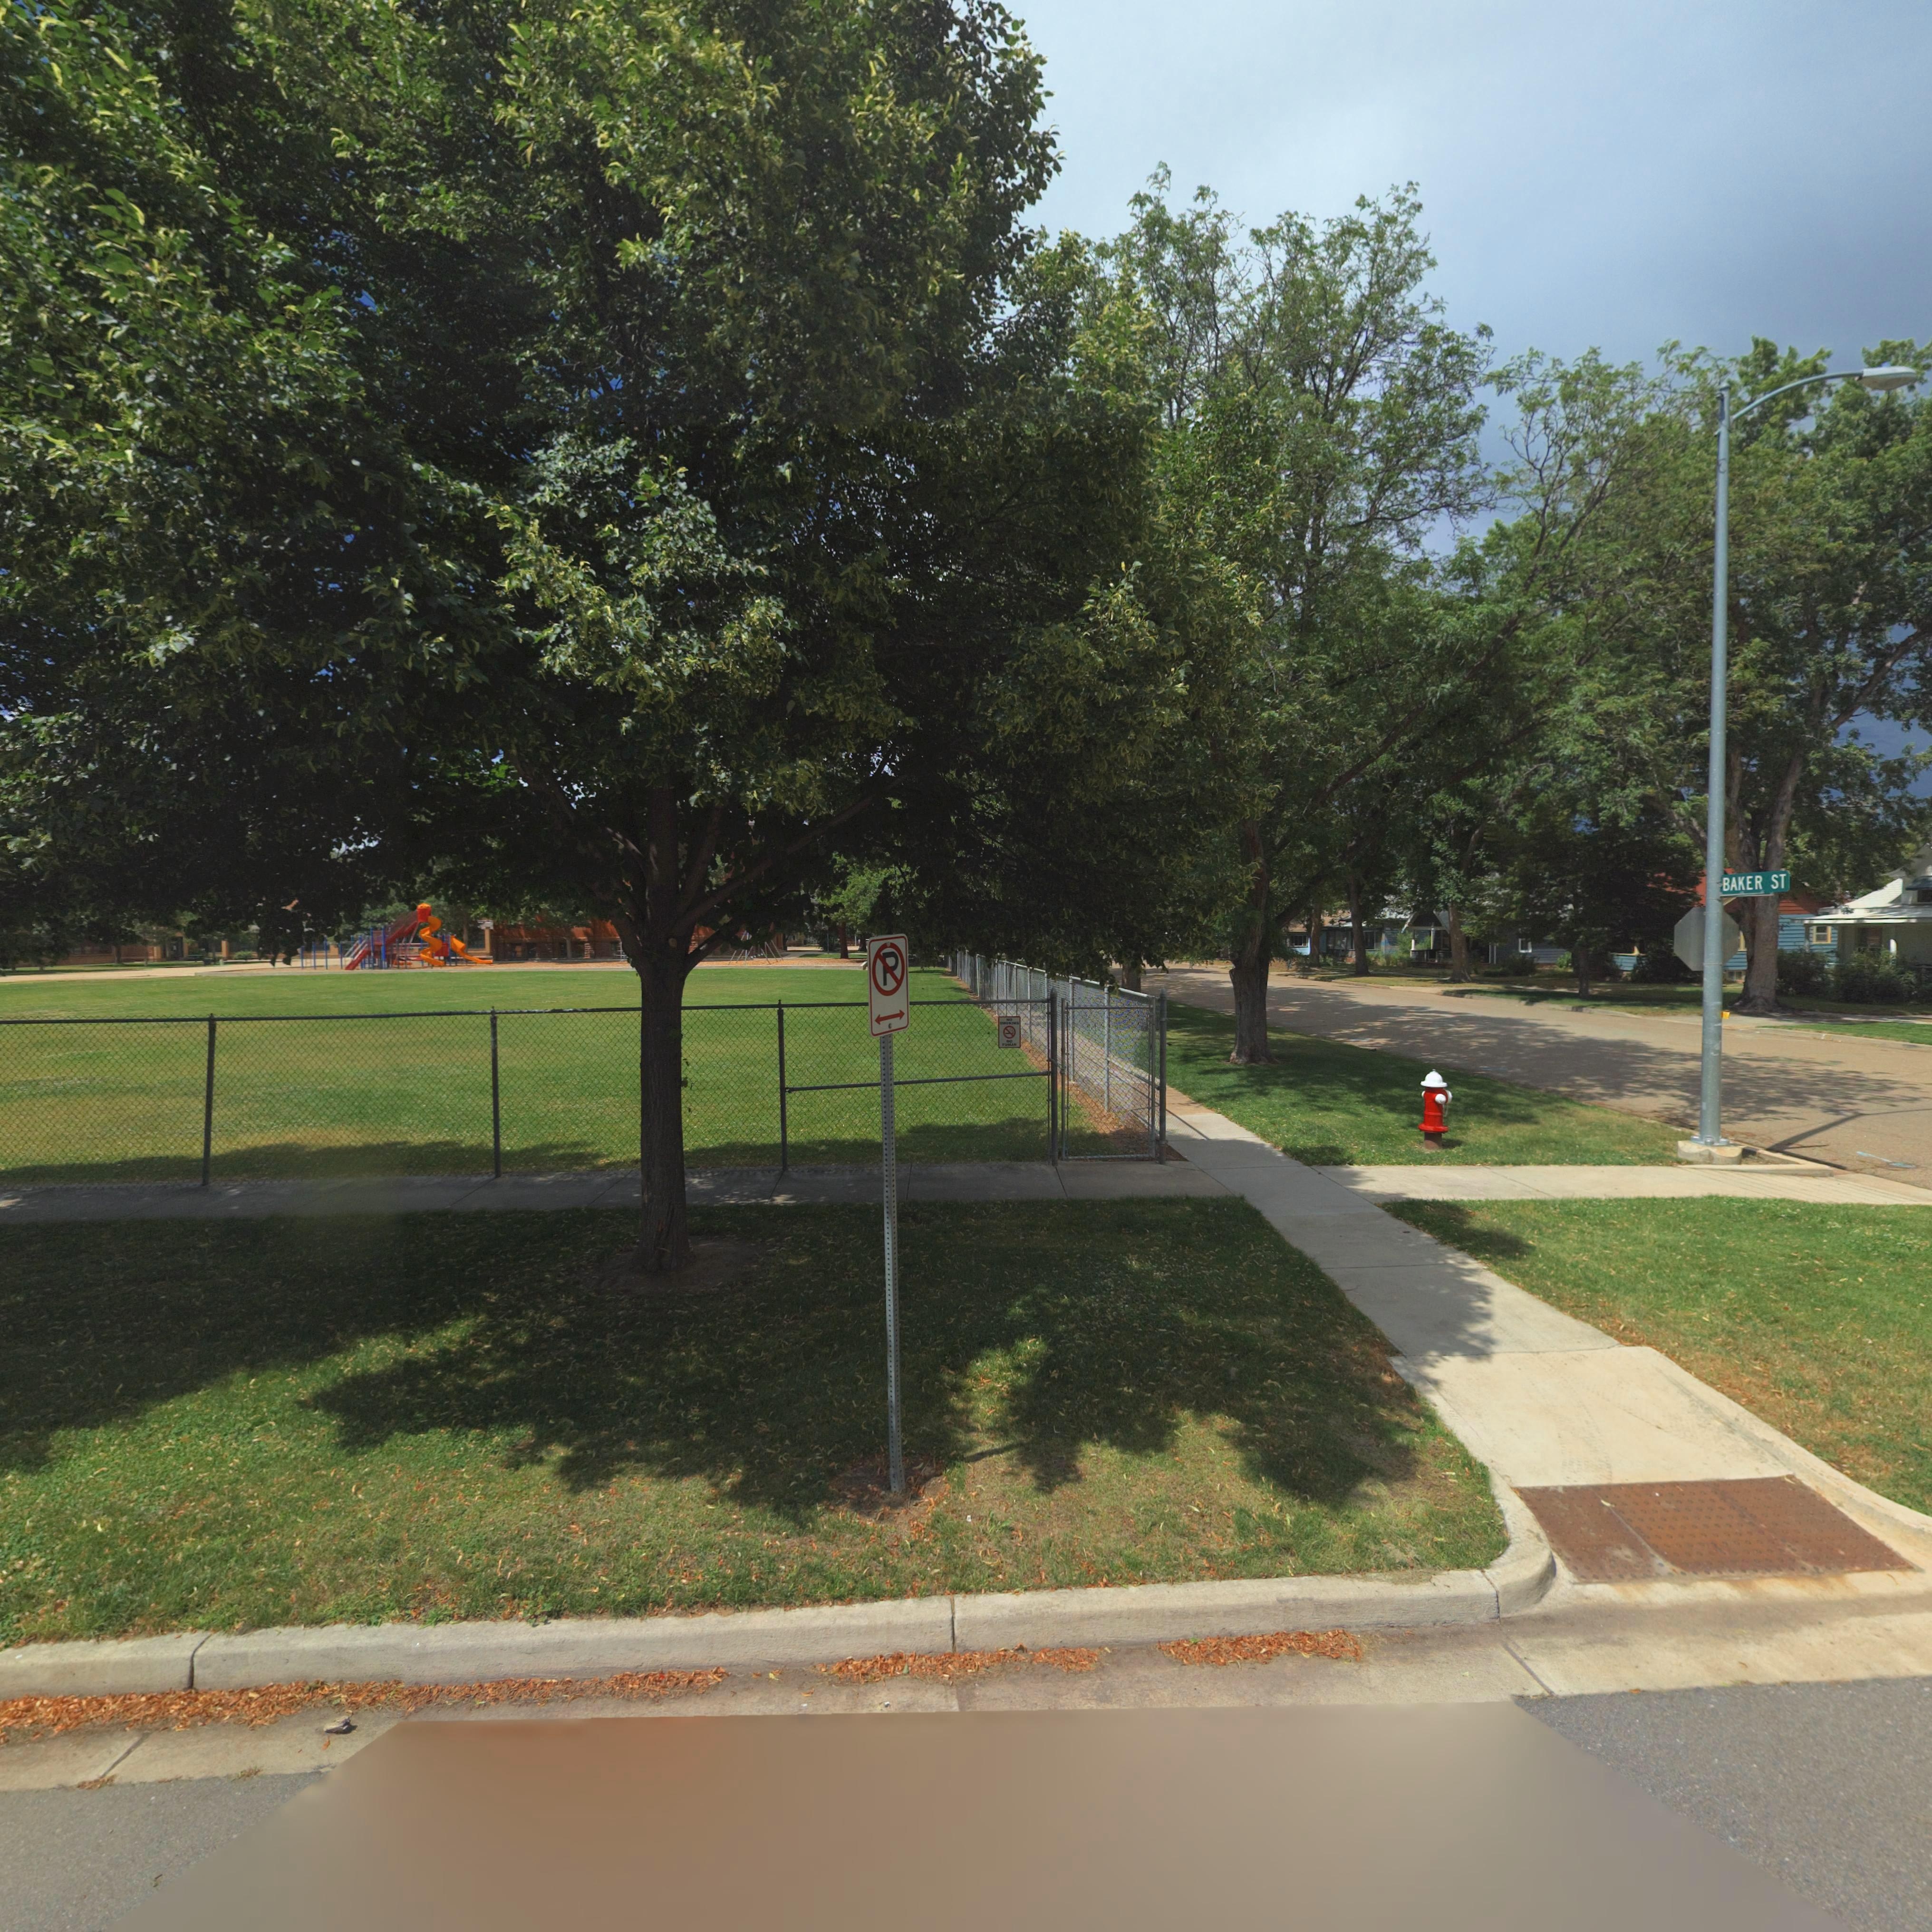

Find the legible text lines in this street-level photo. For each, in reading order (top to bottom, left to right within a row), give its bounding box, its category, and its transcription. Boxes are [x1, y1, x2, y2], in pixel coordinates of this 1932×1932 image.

[1722, 873, 1787, 891] StreetName: BAKER ST